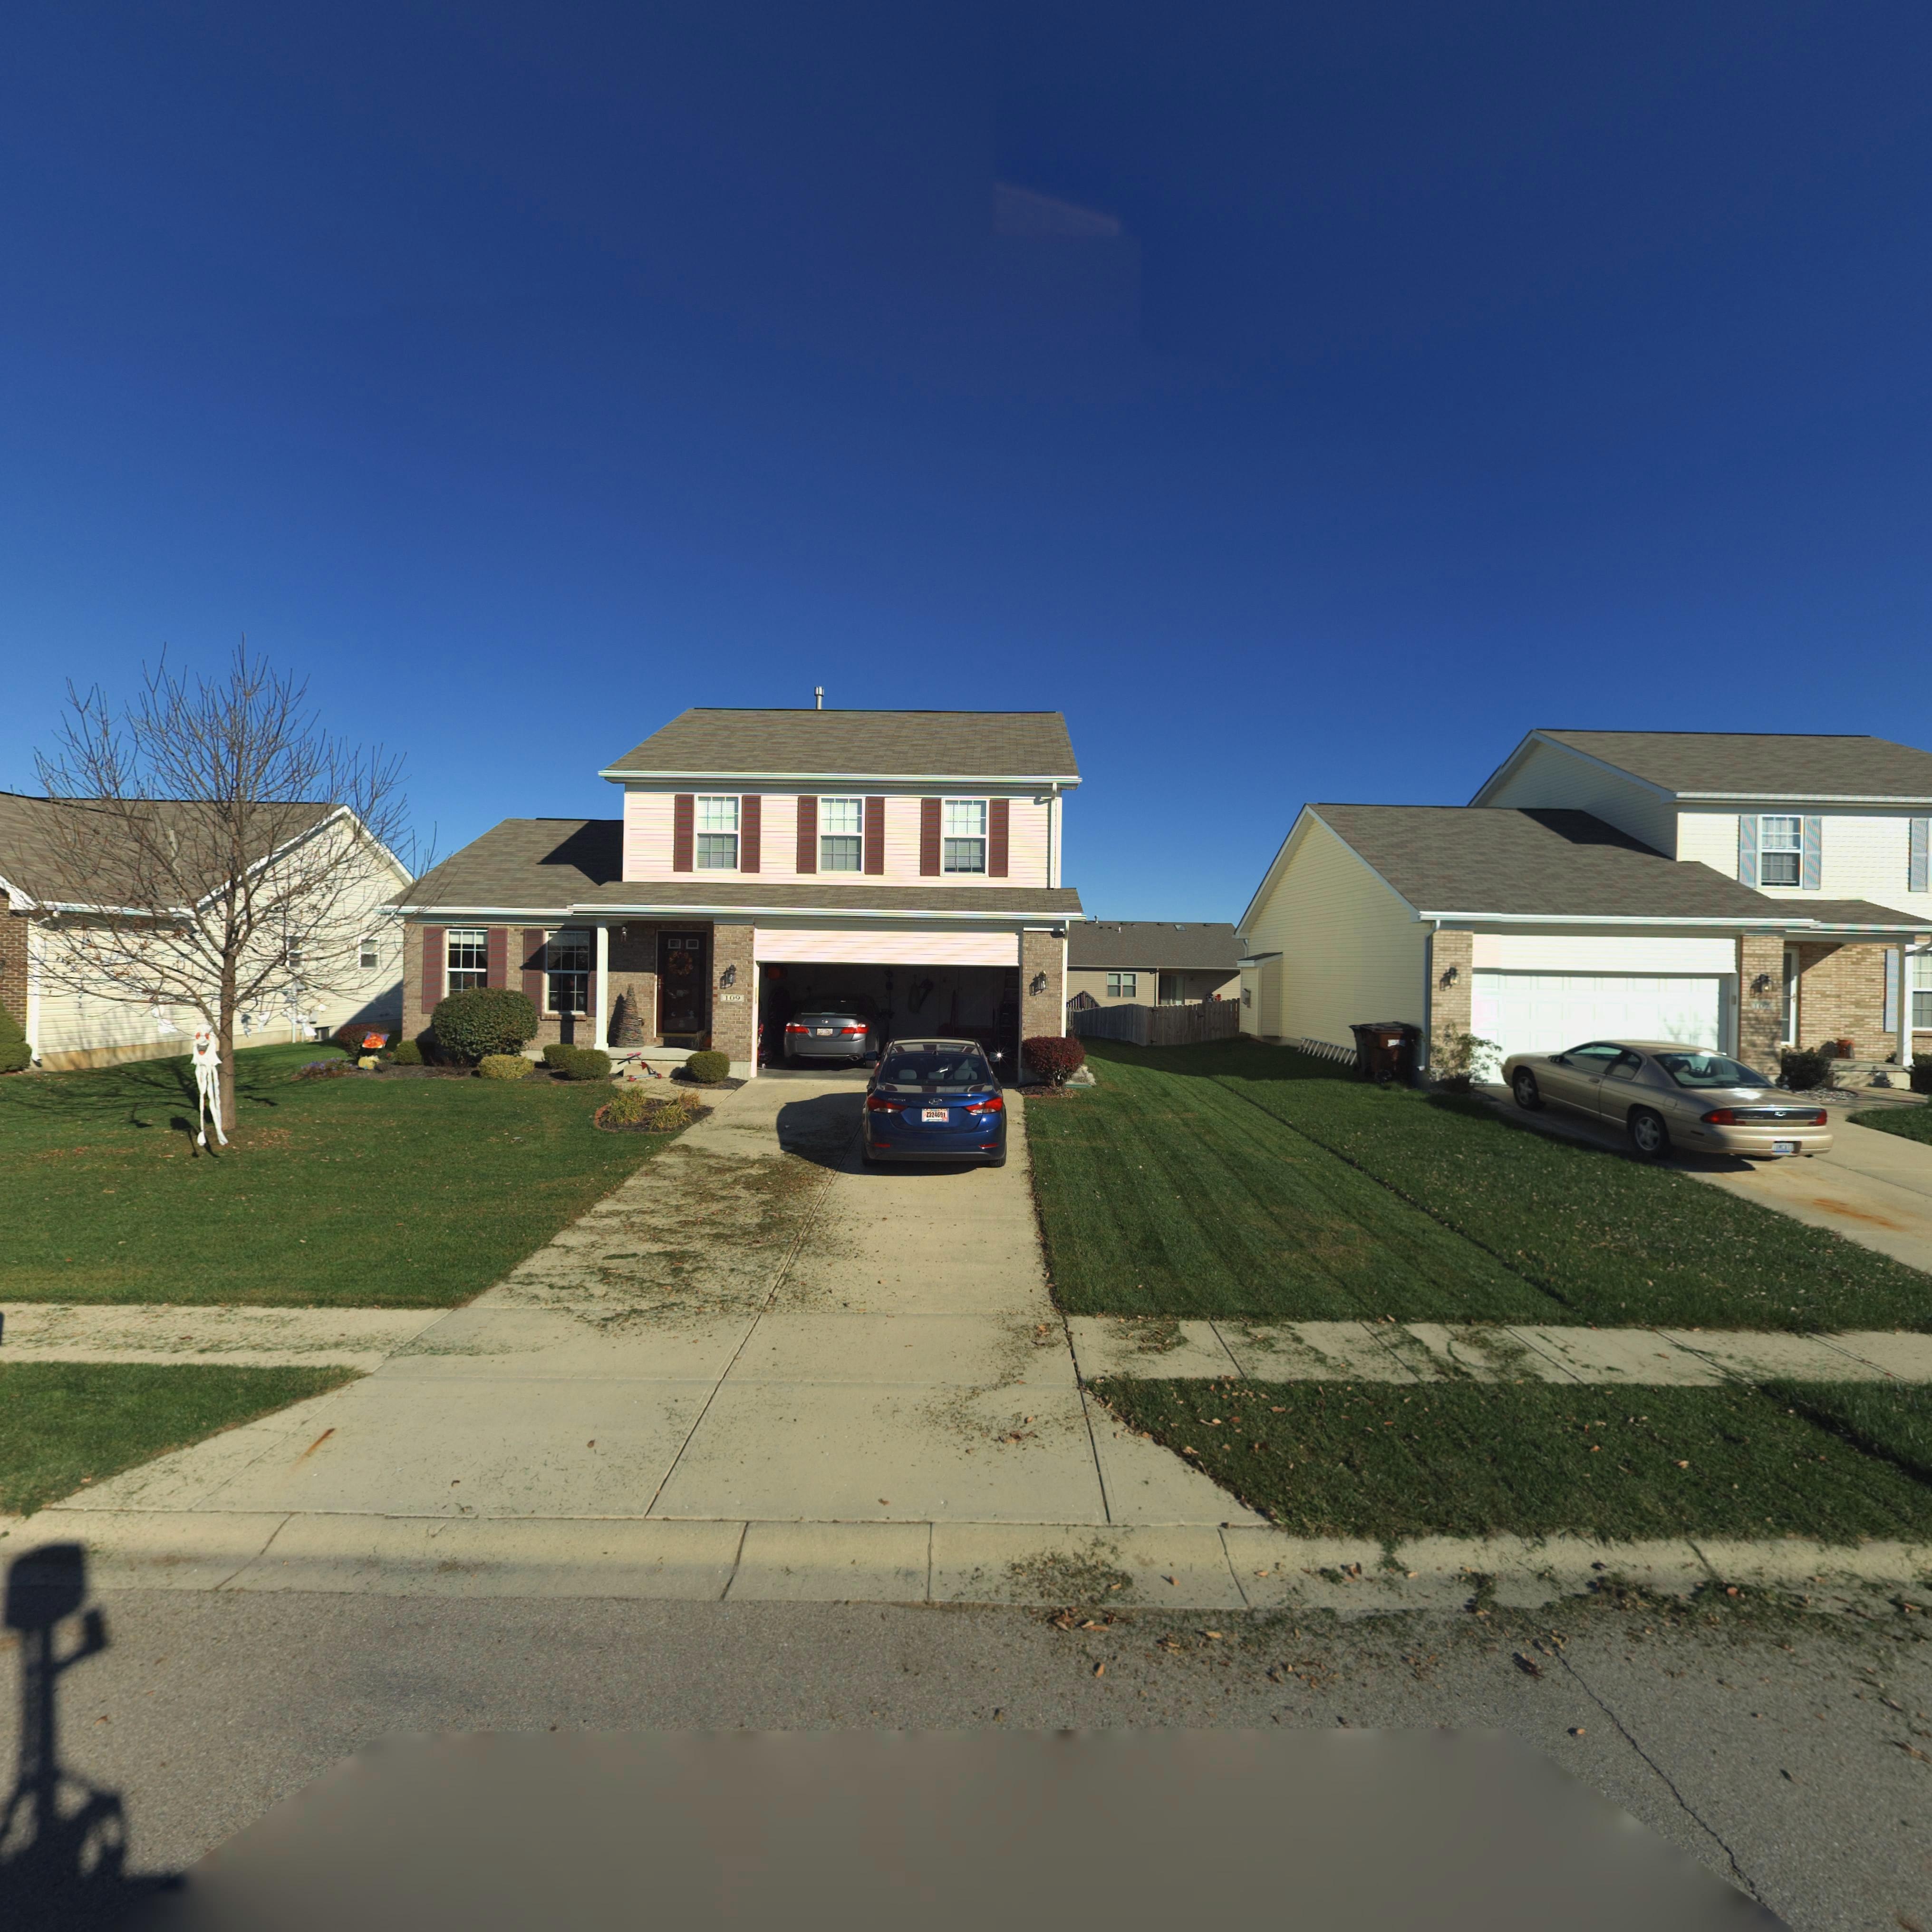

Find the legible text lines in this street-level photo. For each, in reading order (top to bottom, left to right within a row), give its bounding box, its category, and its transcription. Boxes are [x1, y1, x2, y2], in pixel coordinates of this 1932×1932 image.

[724, 994, 742, 1002] StreetNumber: 109